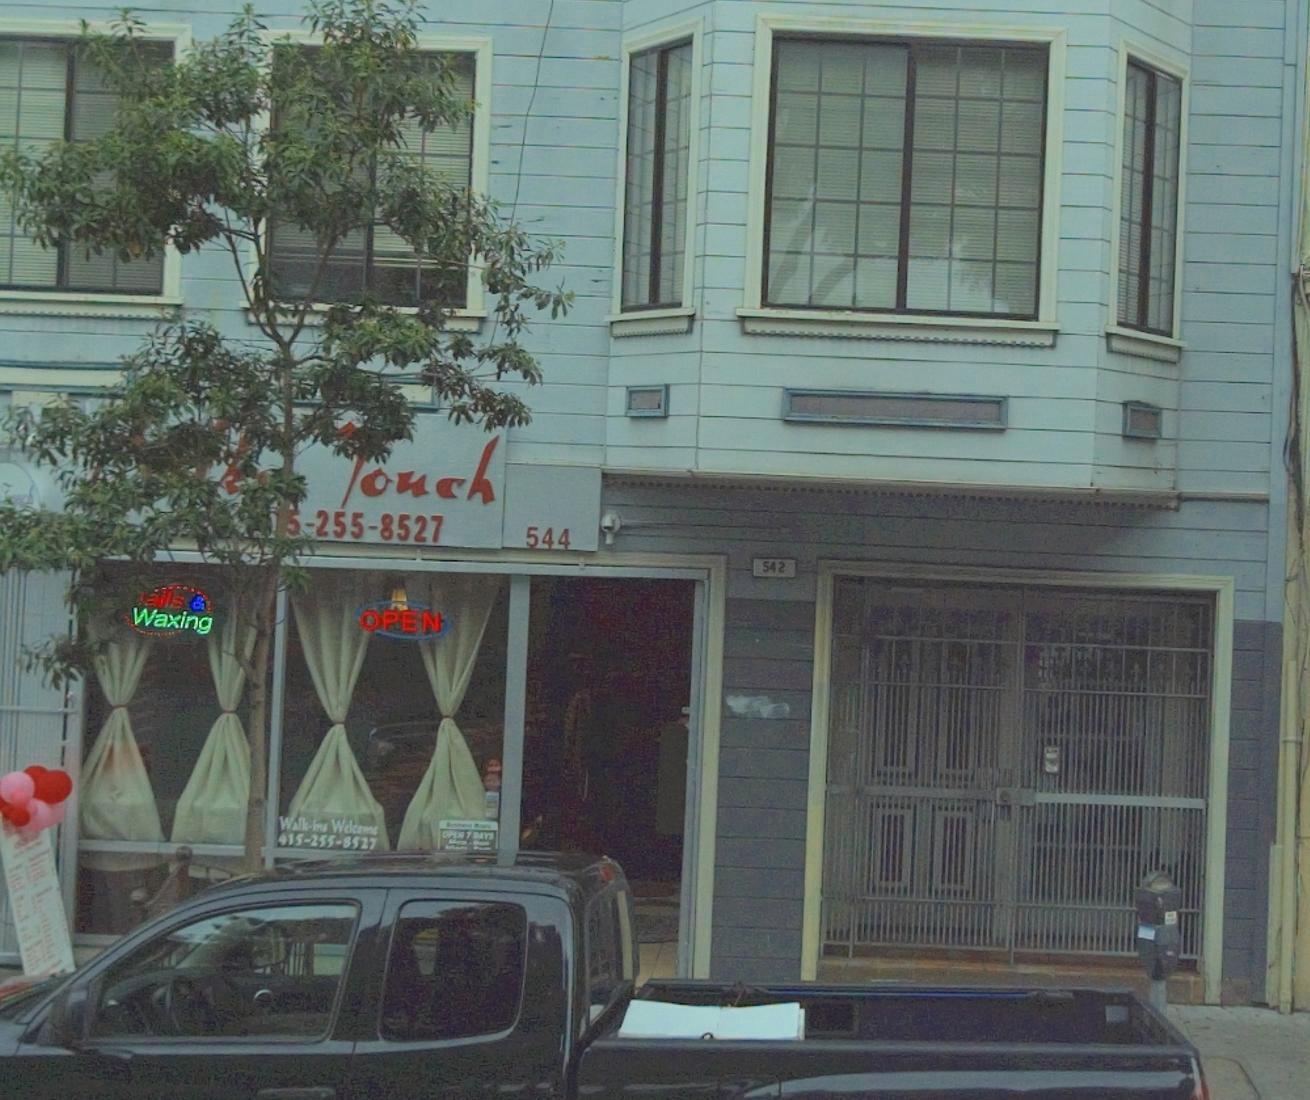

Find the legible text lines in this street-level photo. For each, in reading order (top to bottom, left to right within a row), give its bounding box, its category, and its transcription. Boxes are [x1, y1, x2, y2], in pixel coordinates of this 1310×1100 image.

[356, 429, 506, 511] BusinessName: ouch
[281, 504, 448, 547] None: 5-255-8527
[524, 523, 573, 553] StreetNumber: 544
[761, 559, 787, 575] StreetNumber: 542
[142, 585, 188, 611] None: ails
[129, 602, 217, 638] None: Waxing
[357, 606, 444, 636] None: OPEN
[274, 812, 382, 838] None: Walk-Ins Welcome
[275, 829, 381, 853] None: 415-255-8527
[438, 828, 497, 842] None: OPEN 7 DAYS